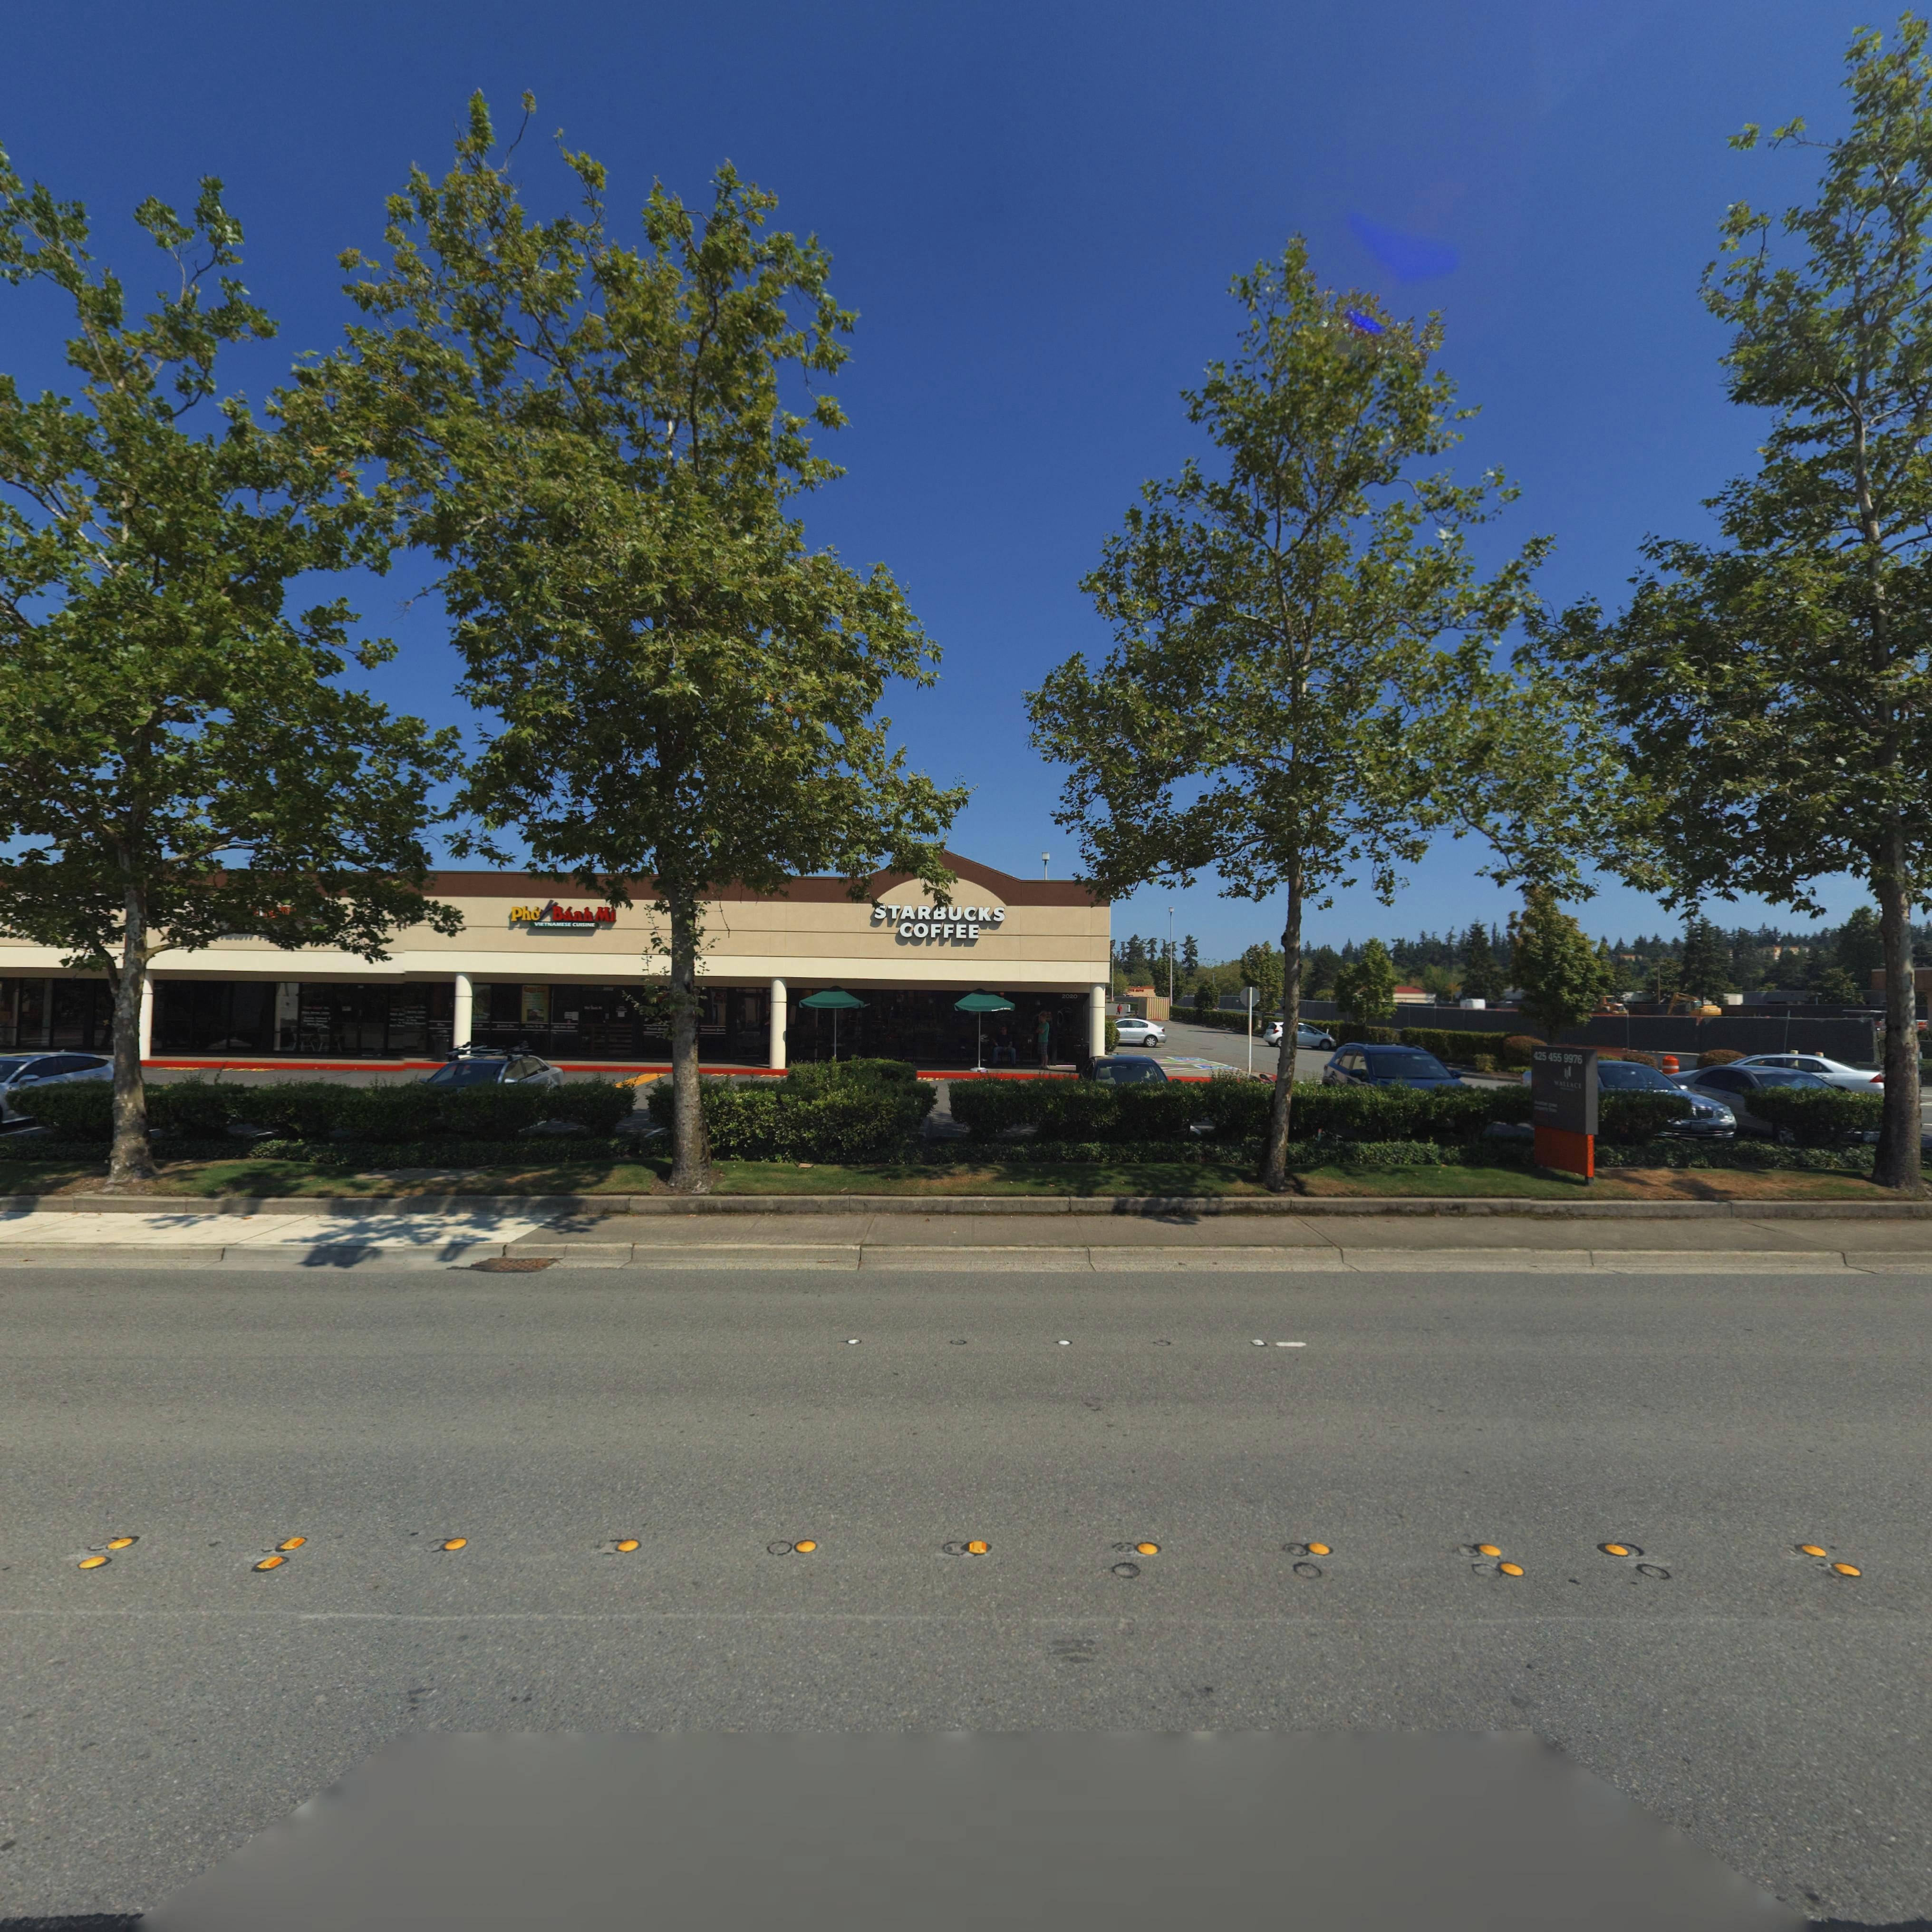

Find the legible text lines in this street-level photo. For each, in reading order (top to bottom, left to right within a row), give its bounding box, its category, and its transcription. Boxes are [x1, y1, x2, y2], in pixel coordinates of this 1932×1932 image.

[510, 905, 531, 922] BusinessName: Ph
[552, 906, 609, 922] BusinessName: B*nh Mi
[887, 903, 932, 920] BusinessName: TAR
[947, 905, 1005, 922] BusinessName: UCKS
[533, 921, 596, 927] BusinessName: VIETNAMESE CUISINE
[898, 921, 980, 940] BusinessName: COFFEE
[1061, 994, 1078, 999] StreetNumber: 2020